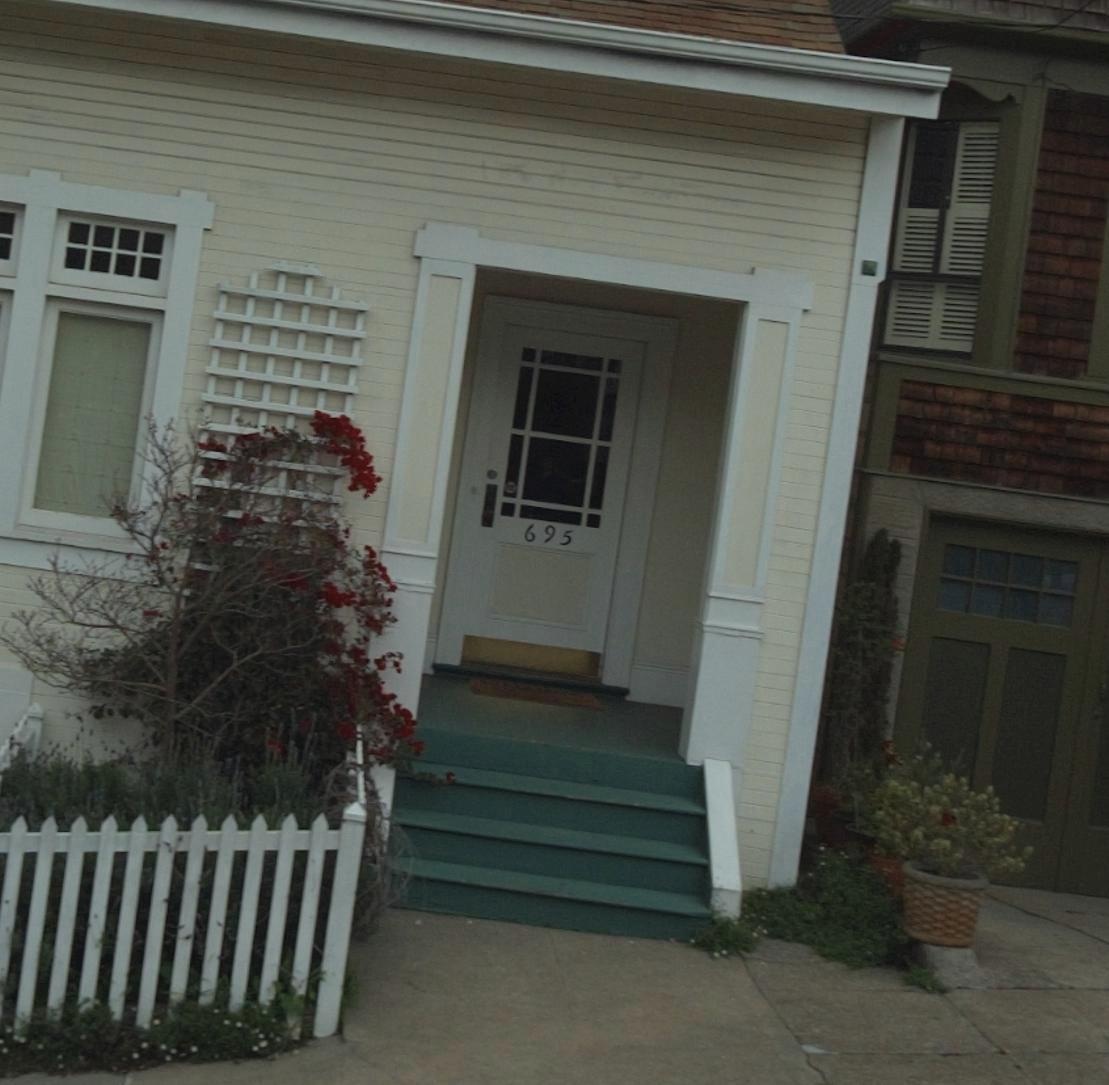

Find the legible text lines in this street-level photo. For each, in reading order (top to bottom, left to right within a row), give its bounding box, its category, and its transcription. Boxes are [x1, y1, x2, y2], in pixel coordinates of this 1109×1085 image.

[523, 522, 574, 547] StreetNumber: 695